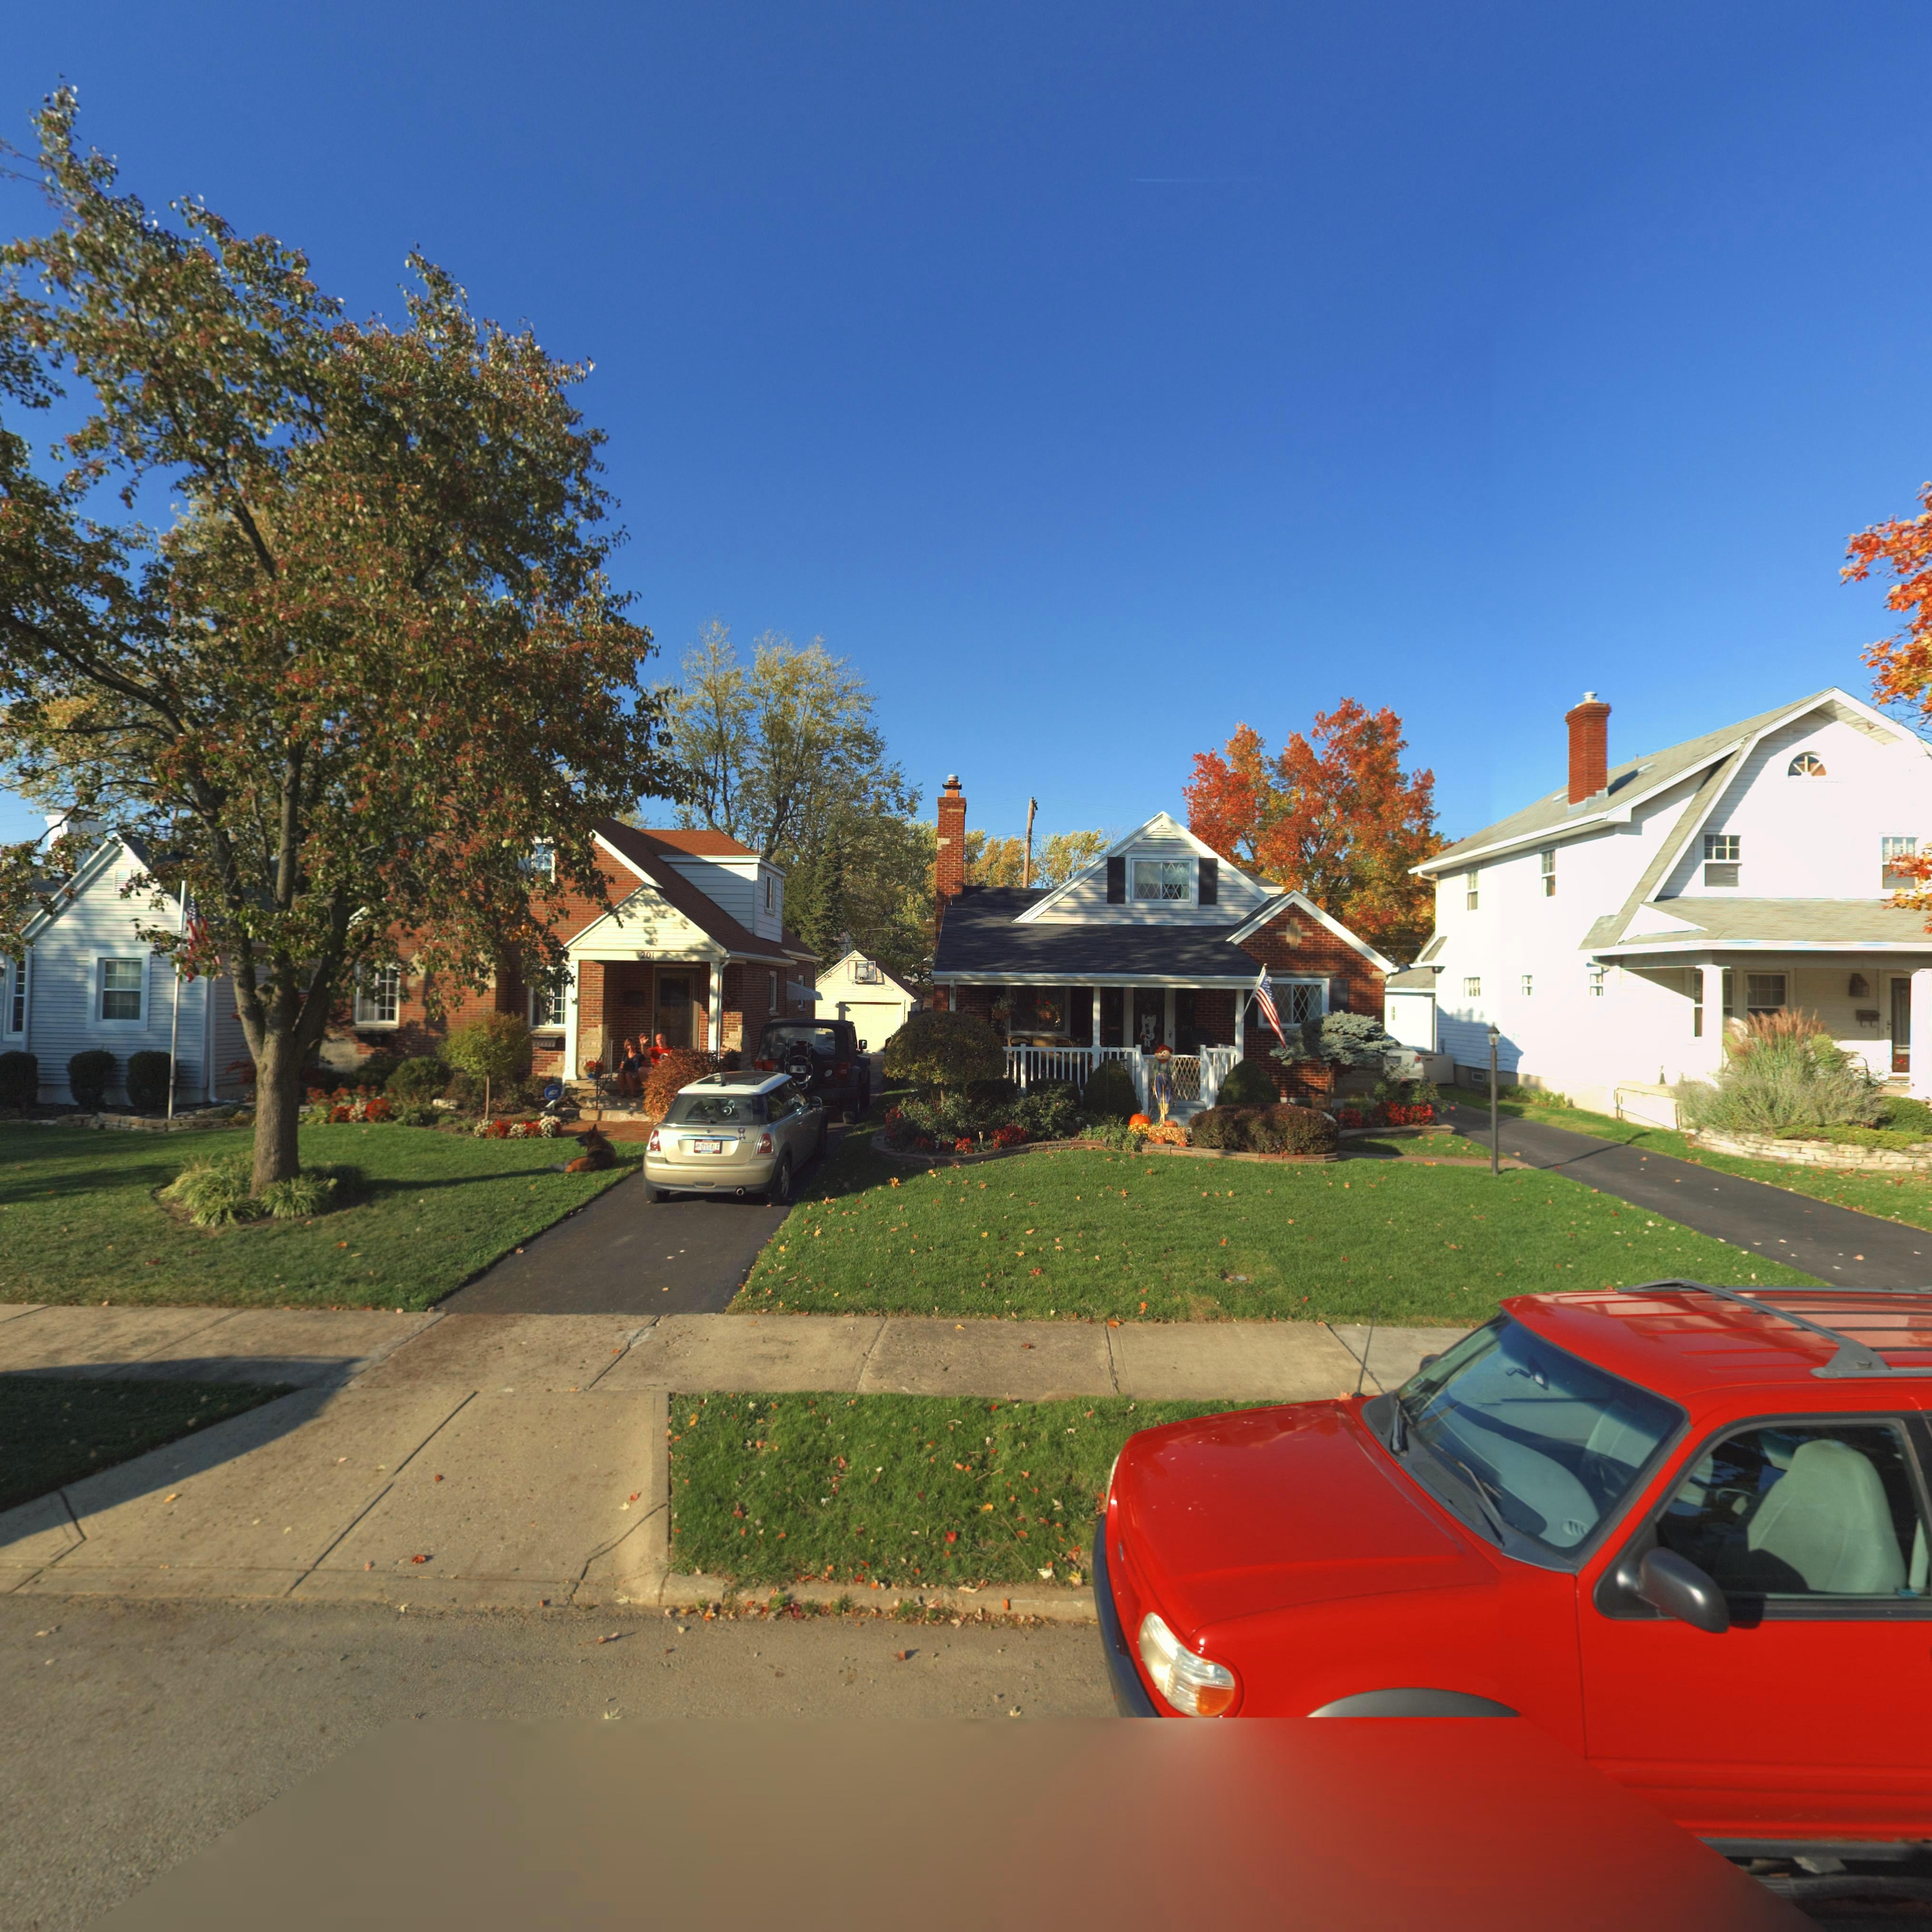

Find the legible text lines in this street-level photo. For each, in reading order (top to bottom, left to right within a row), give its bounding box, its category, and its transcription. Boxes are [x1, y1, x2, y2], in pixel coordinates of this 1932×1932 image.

[640, 951, 655, 959] StreetNumber: 201
[1180, 1025, 1192, 1032] StreetNumber: 205